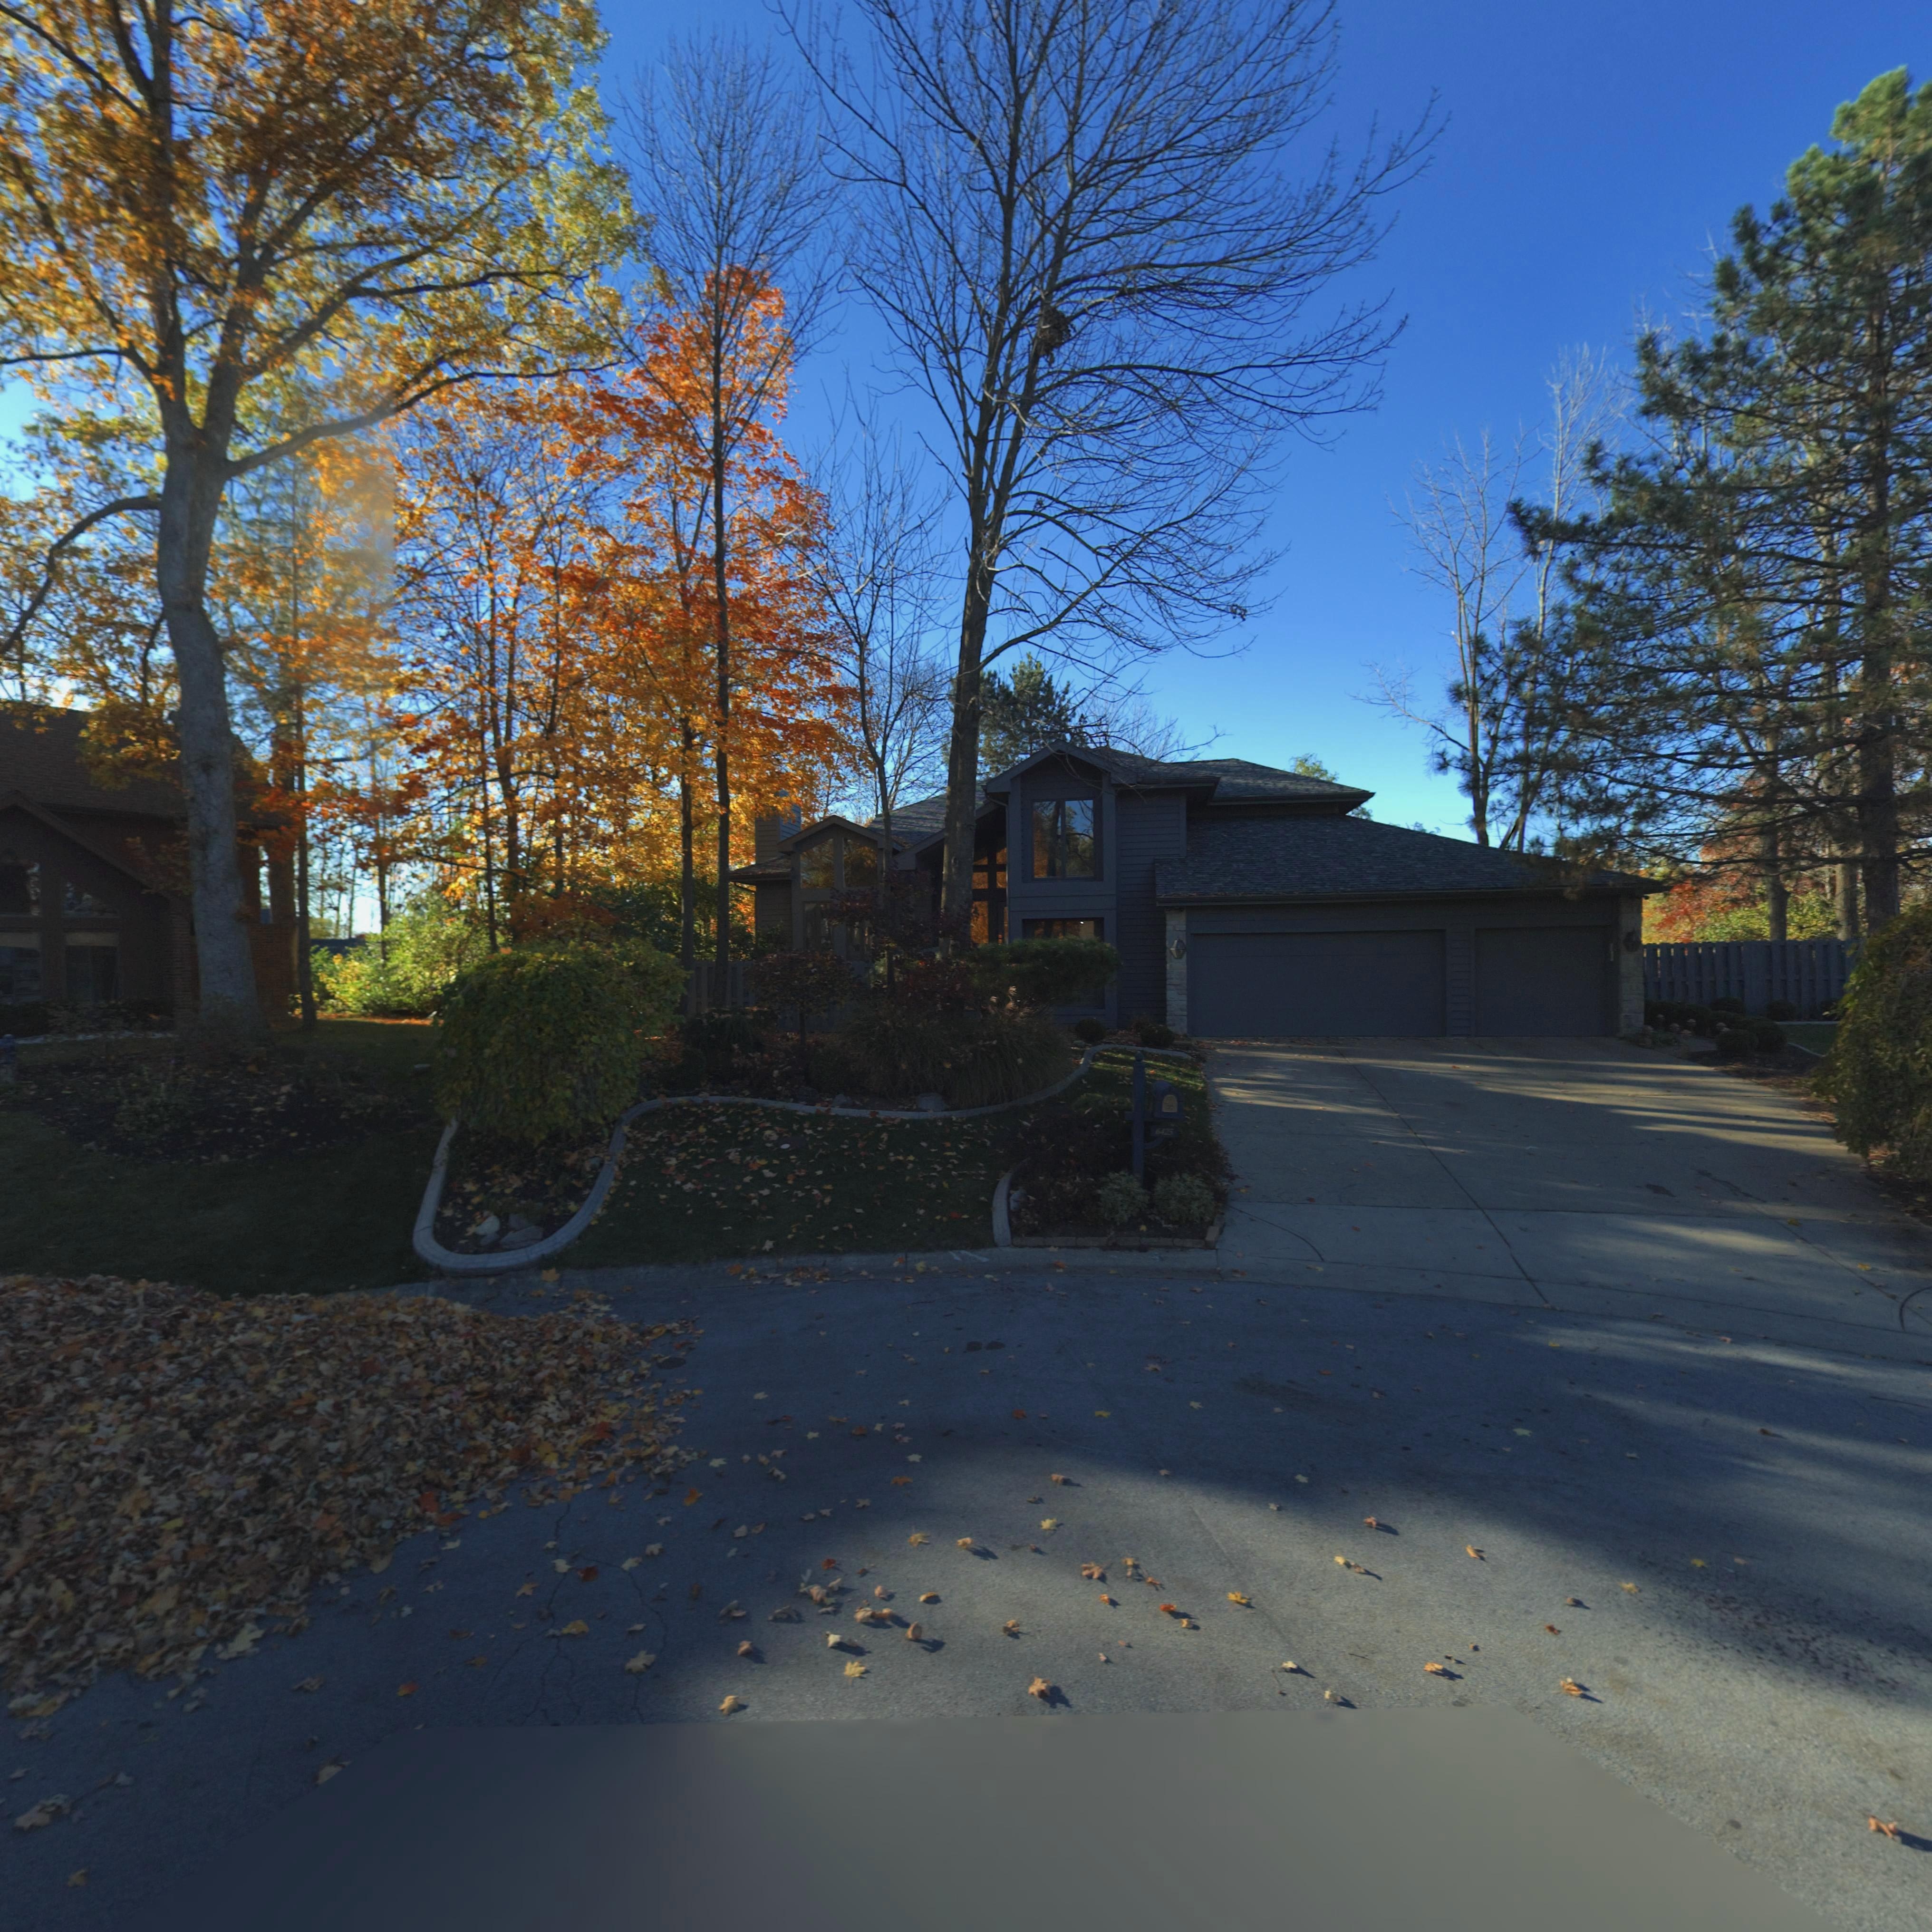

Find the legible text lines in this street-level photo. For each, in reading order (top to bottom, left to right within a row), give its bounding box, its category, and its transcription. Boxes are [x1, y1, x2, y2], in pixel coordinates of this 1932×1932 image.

[1153, 1126, 1176, 1136] StreetNumber: 64*5